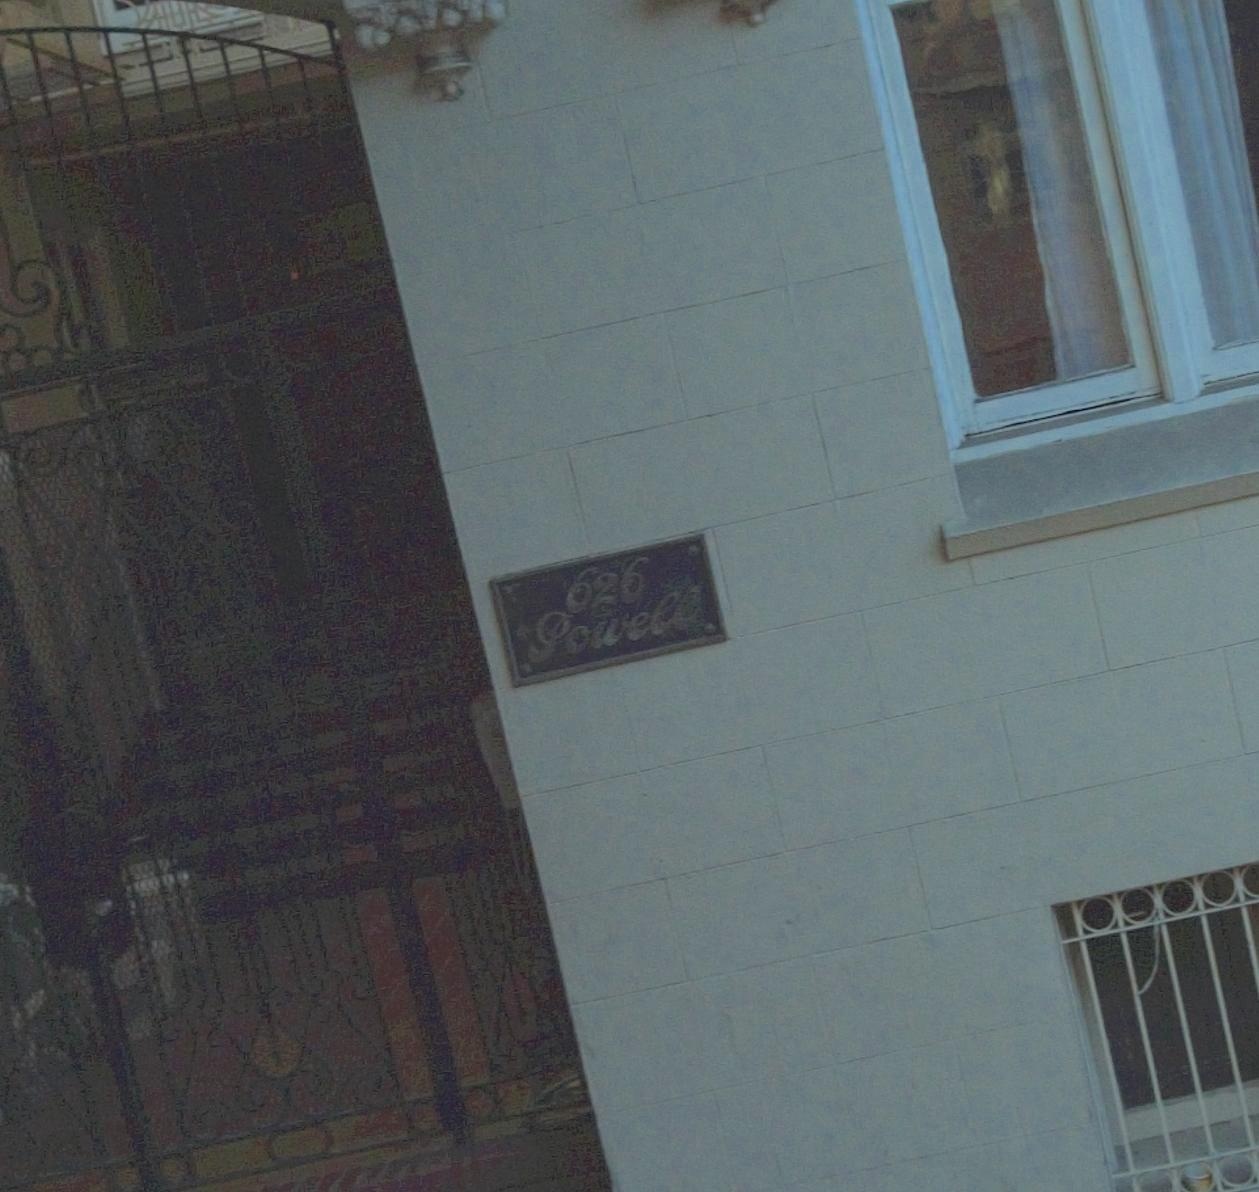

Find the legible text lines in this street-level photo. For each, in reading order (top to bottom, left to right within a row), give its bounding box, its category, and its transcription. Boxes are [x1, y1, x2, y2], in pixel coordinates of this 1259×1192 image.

[559, 554, 651, 613] StreetNumber: 626
[521, 580, 707, 669] StreetName: Powell